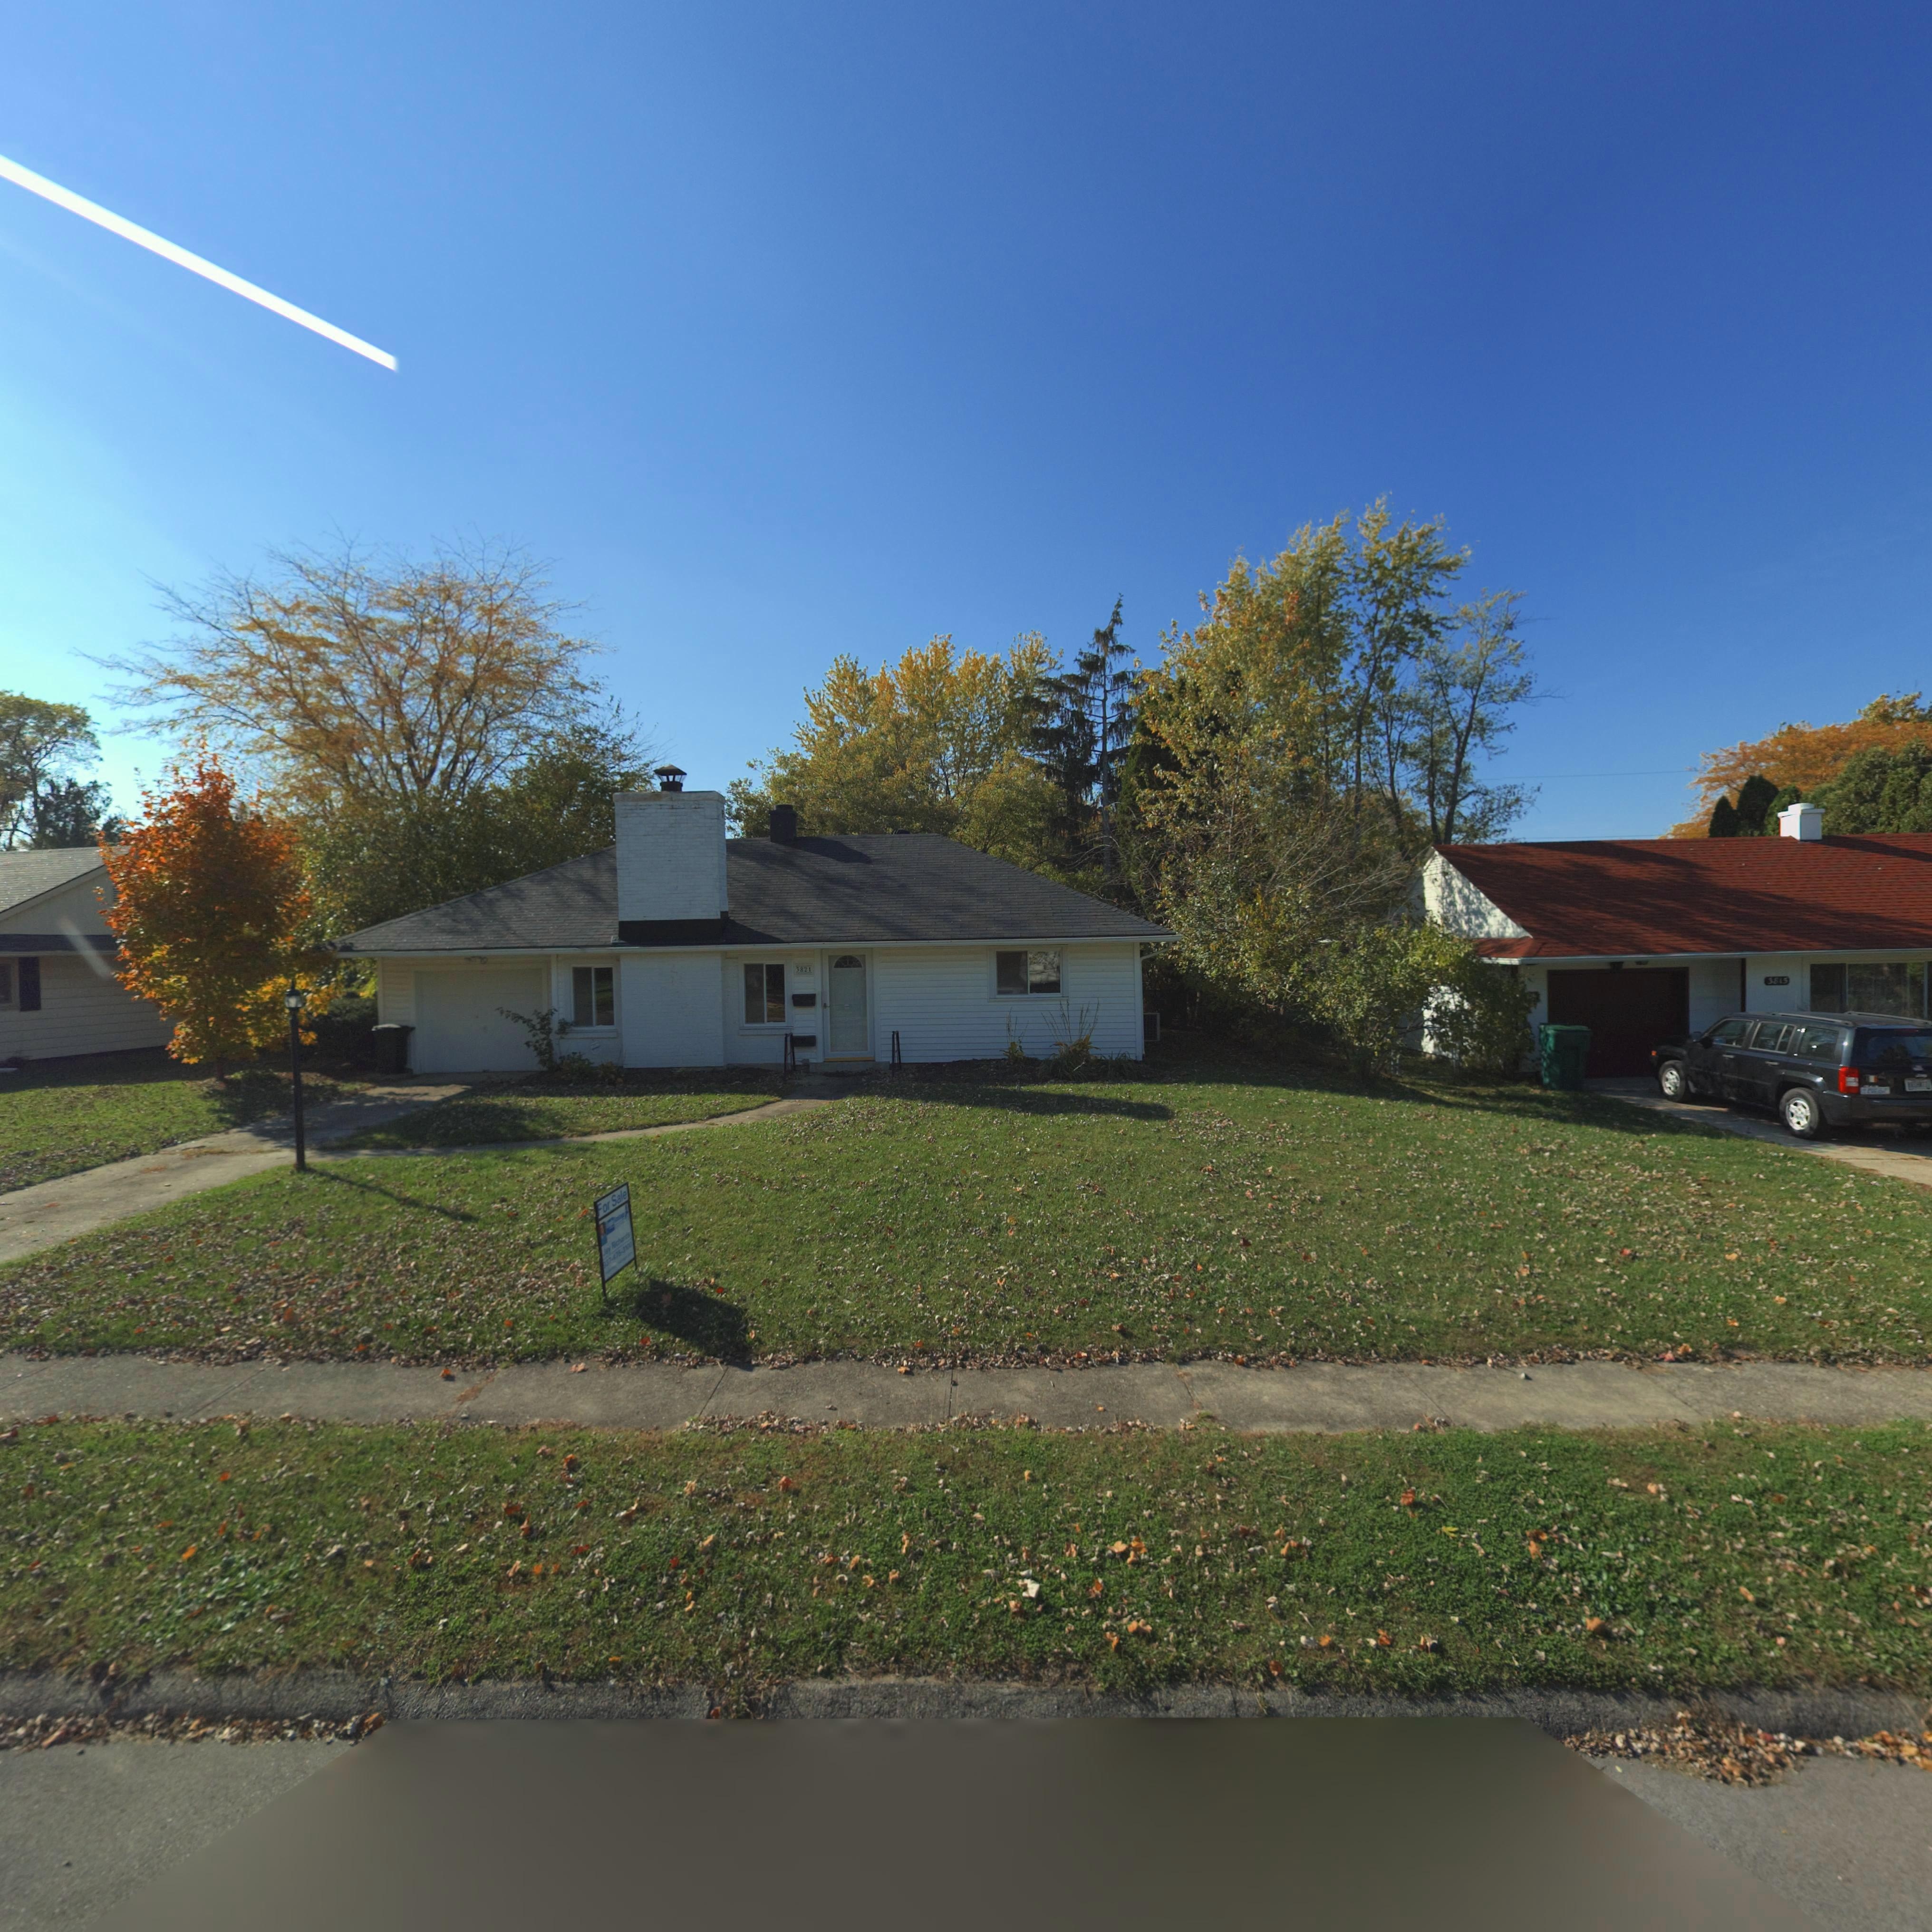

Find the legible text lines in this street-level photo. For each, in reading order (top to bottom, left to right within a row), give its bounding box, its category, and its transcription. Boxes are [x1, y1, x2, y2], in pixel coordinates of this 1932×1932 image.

[795, 966, 811, 973] StreetNumber: 3821
[1766, 976, 1790, 985] StreetNumber: 3815
[595, 1188, 629, 1220] None: For Sale